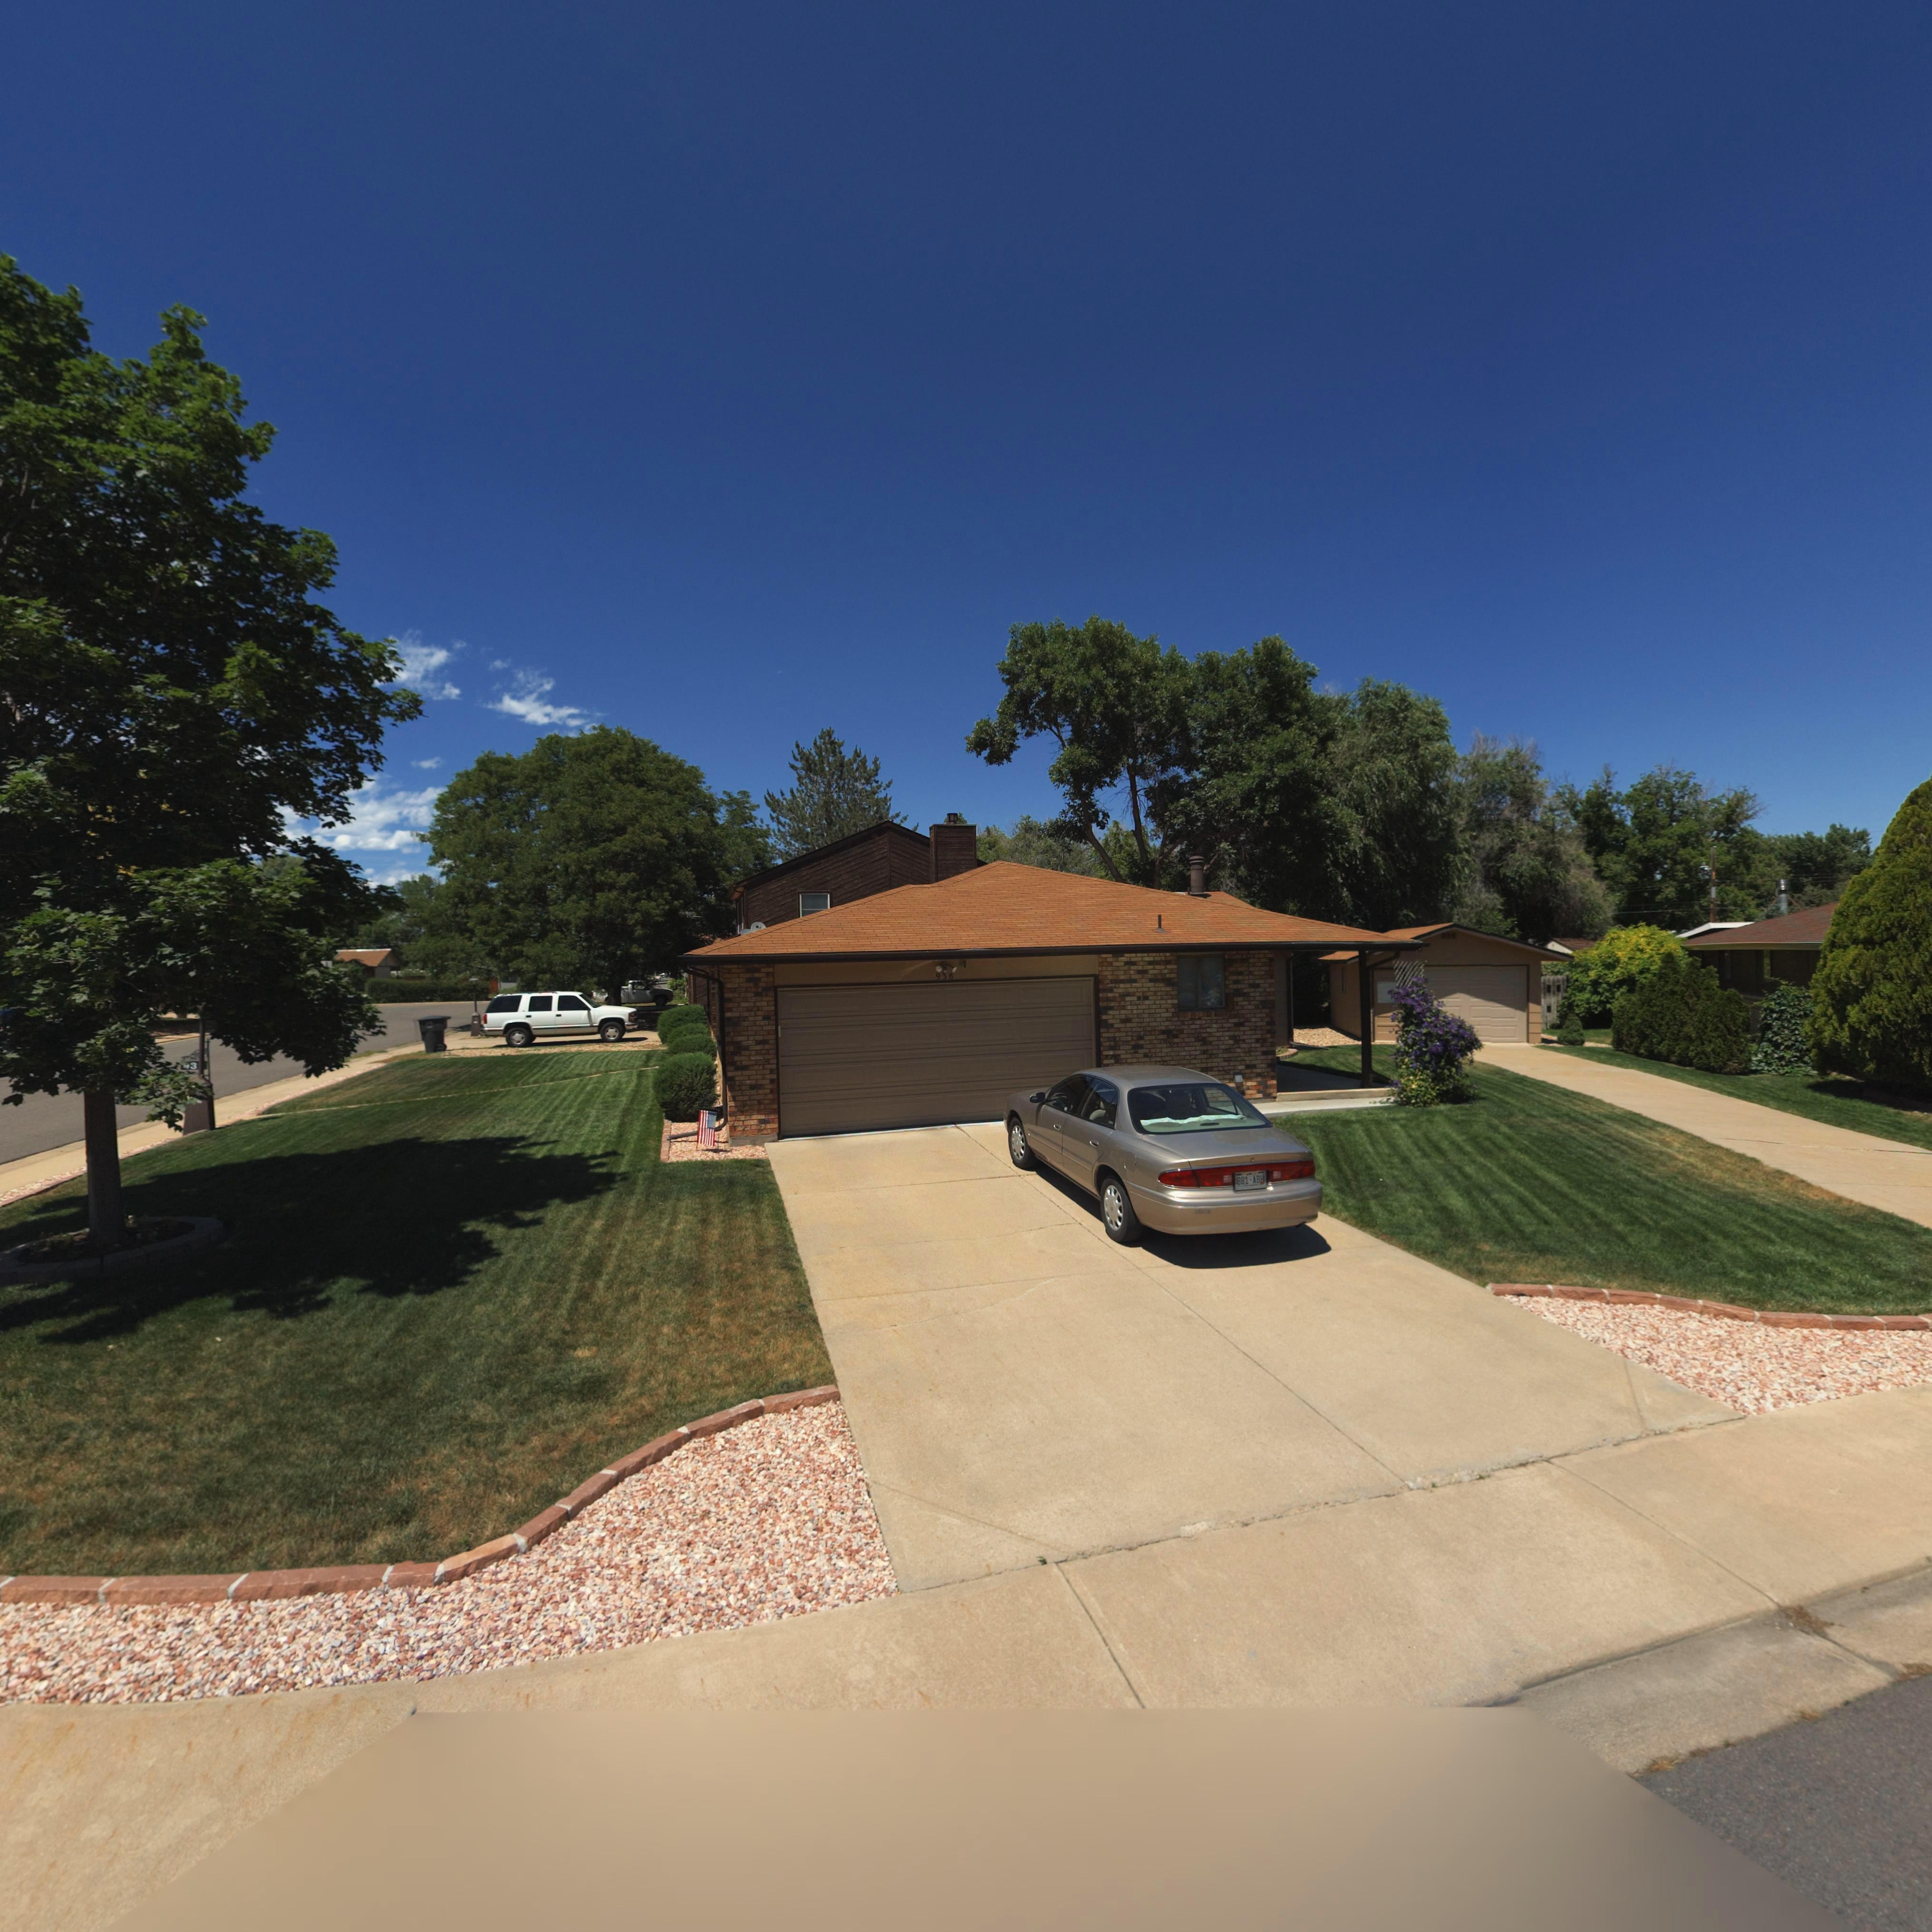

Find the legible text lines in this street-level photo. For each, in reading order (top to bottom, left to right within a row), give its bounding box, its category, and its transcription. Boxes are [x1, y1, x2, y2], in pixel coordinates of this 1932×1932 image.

[935, 972, 953, 980] StreetNumber: 938